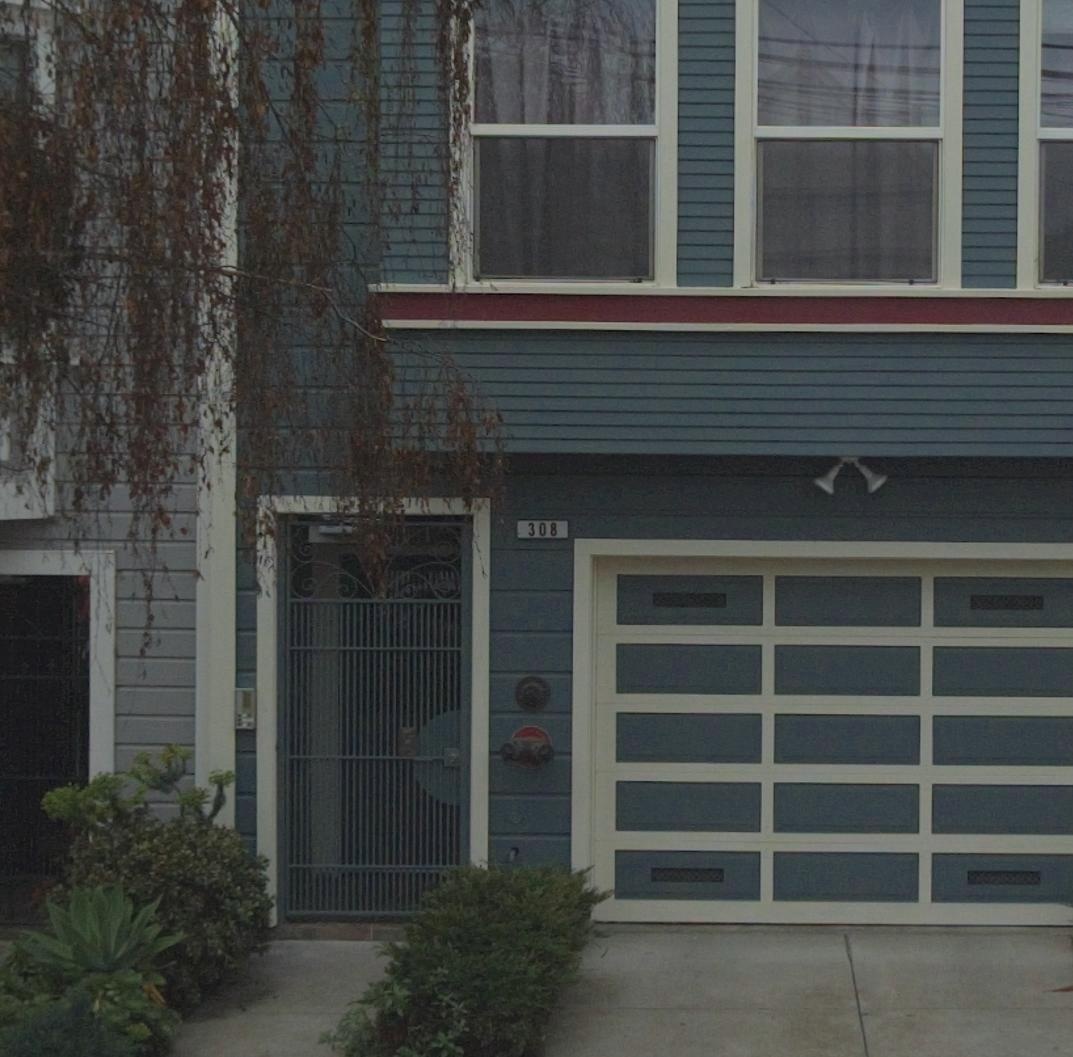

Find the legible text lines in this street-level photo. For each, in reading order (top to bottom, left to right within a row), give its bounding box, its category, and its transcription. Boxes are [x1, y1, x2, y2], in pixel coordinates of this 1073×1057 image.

[527, 521, 558, 538] StreetNumber: 308